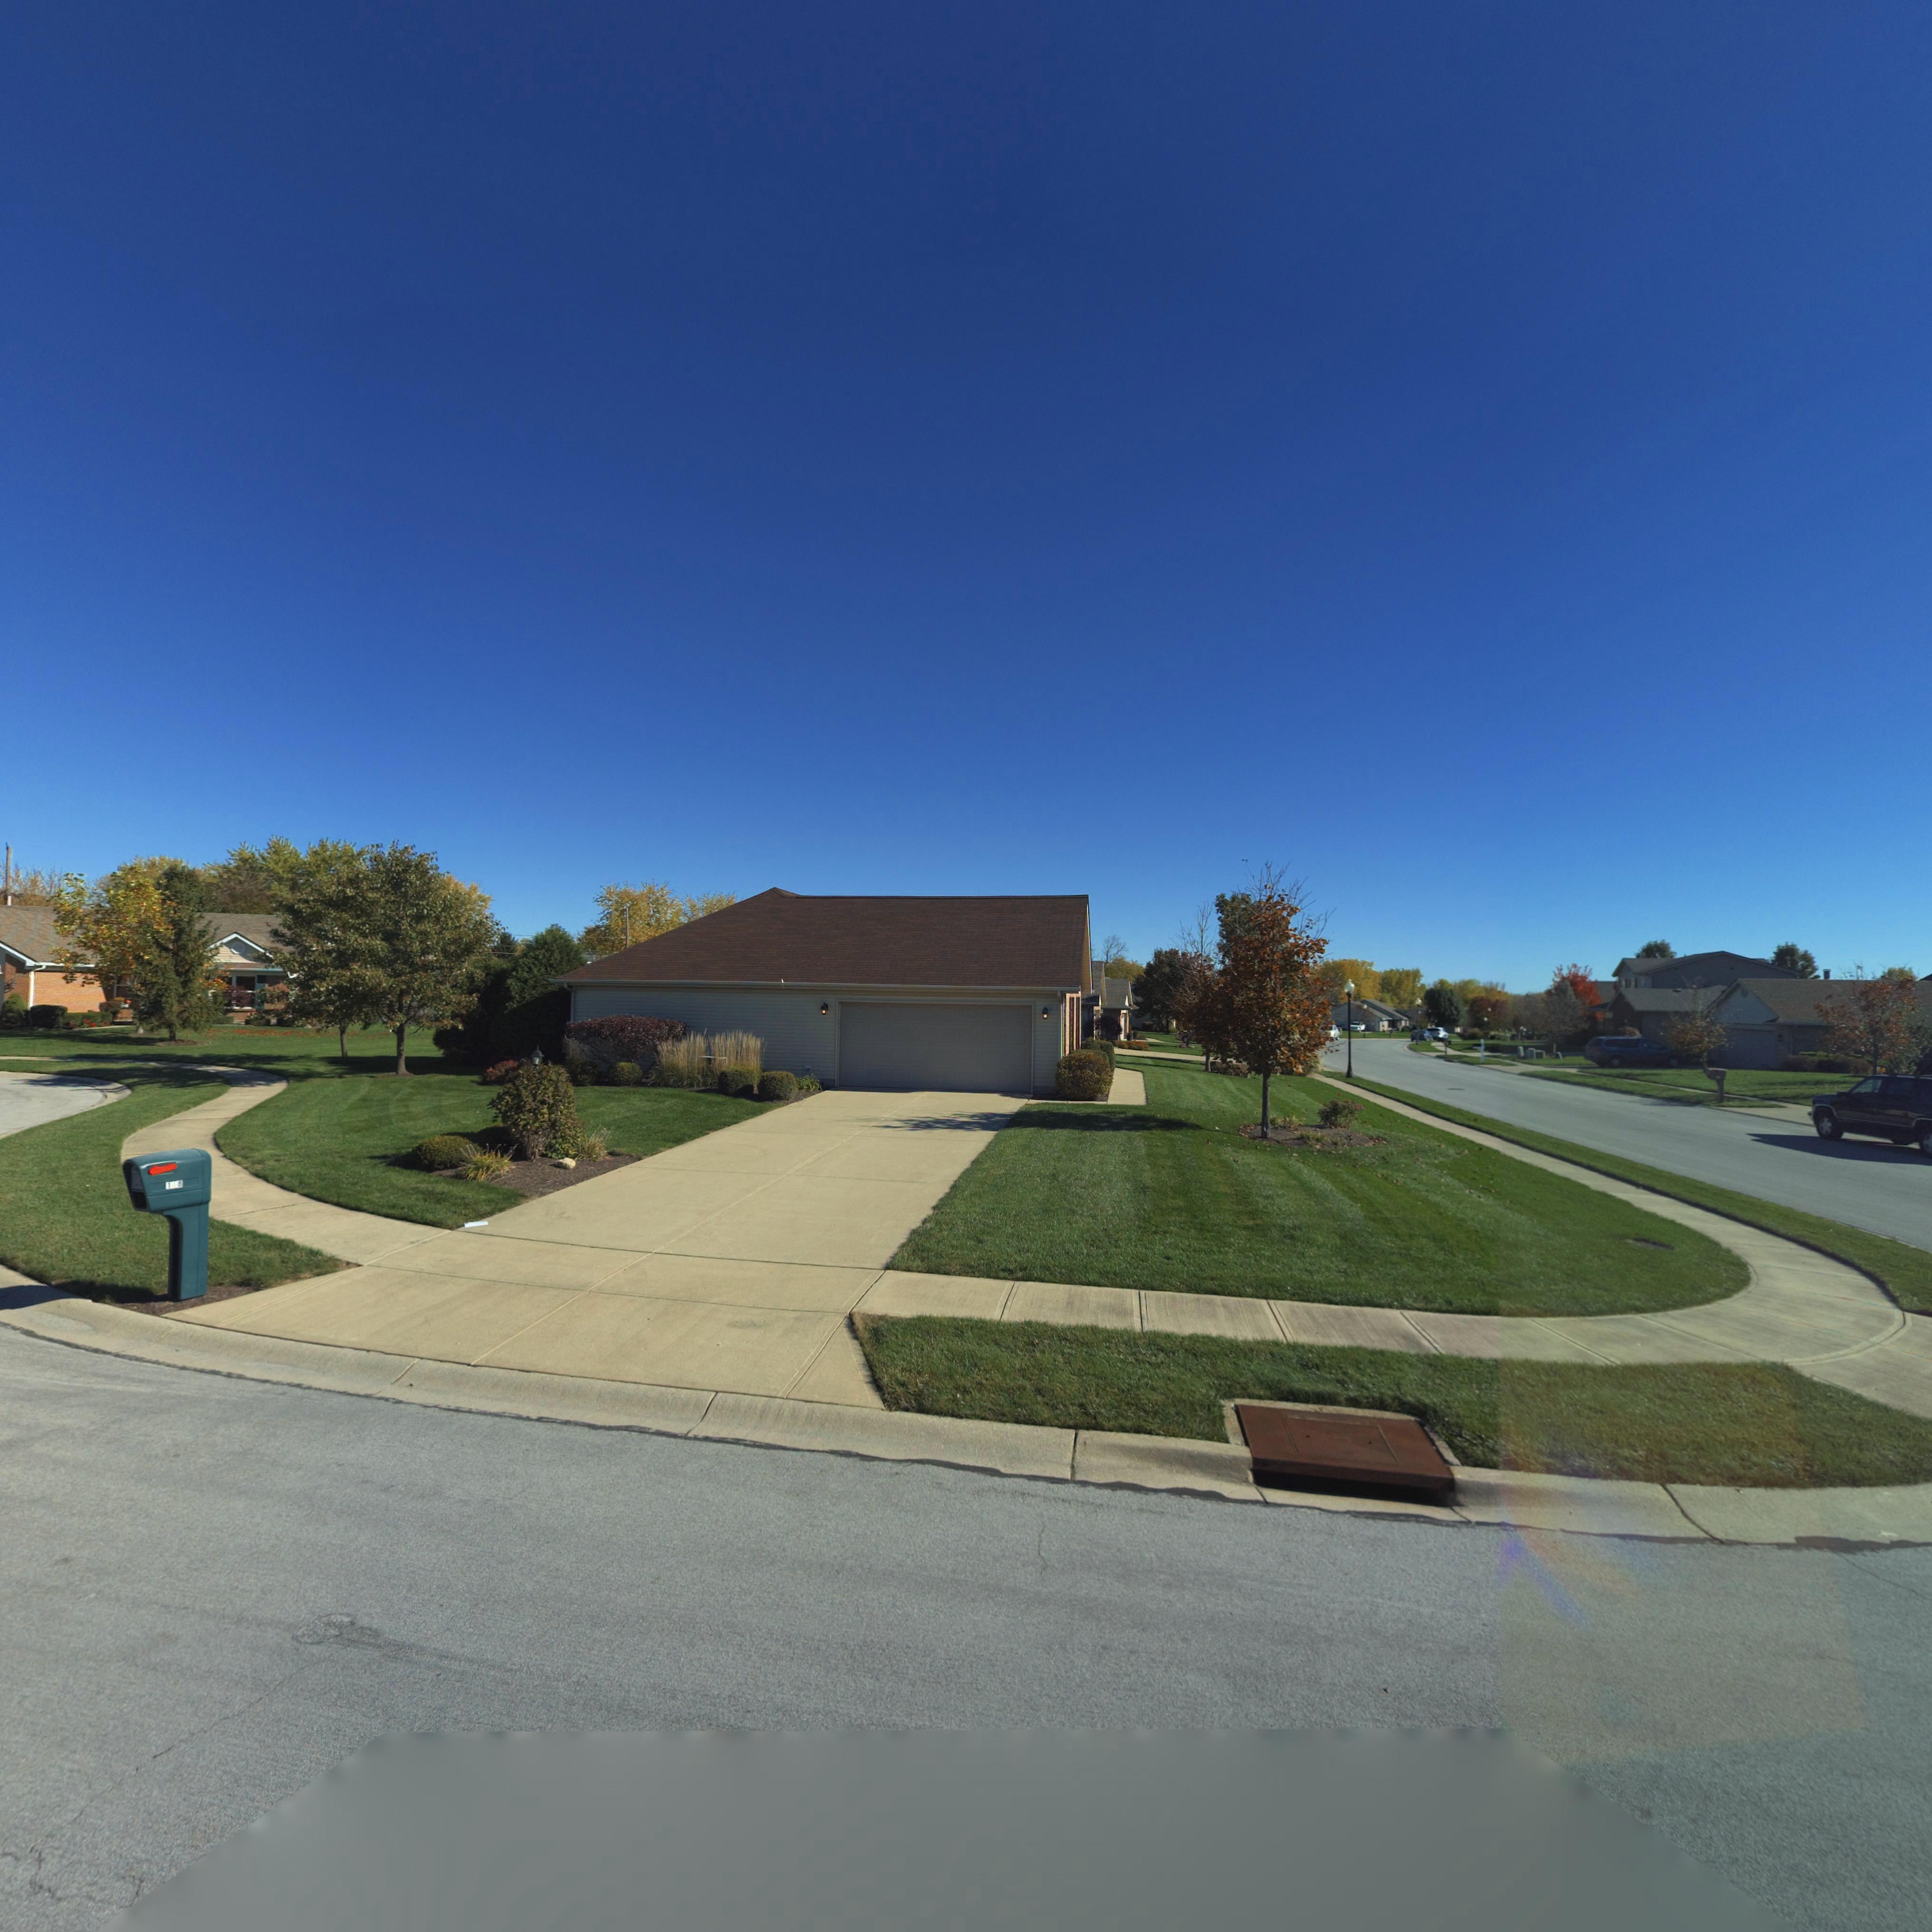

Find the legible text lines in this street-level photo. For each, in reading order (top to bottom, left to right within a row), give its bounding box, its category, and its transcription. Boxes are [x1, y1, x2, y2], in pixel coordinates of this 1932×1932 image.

[167, 1179, 183, 1189] StreetNumber: 1*8